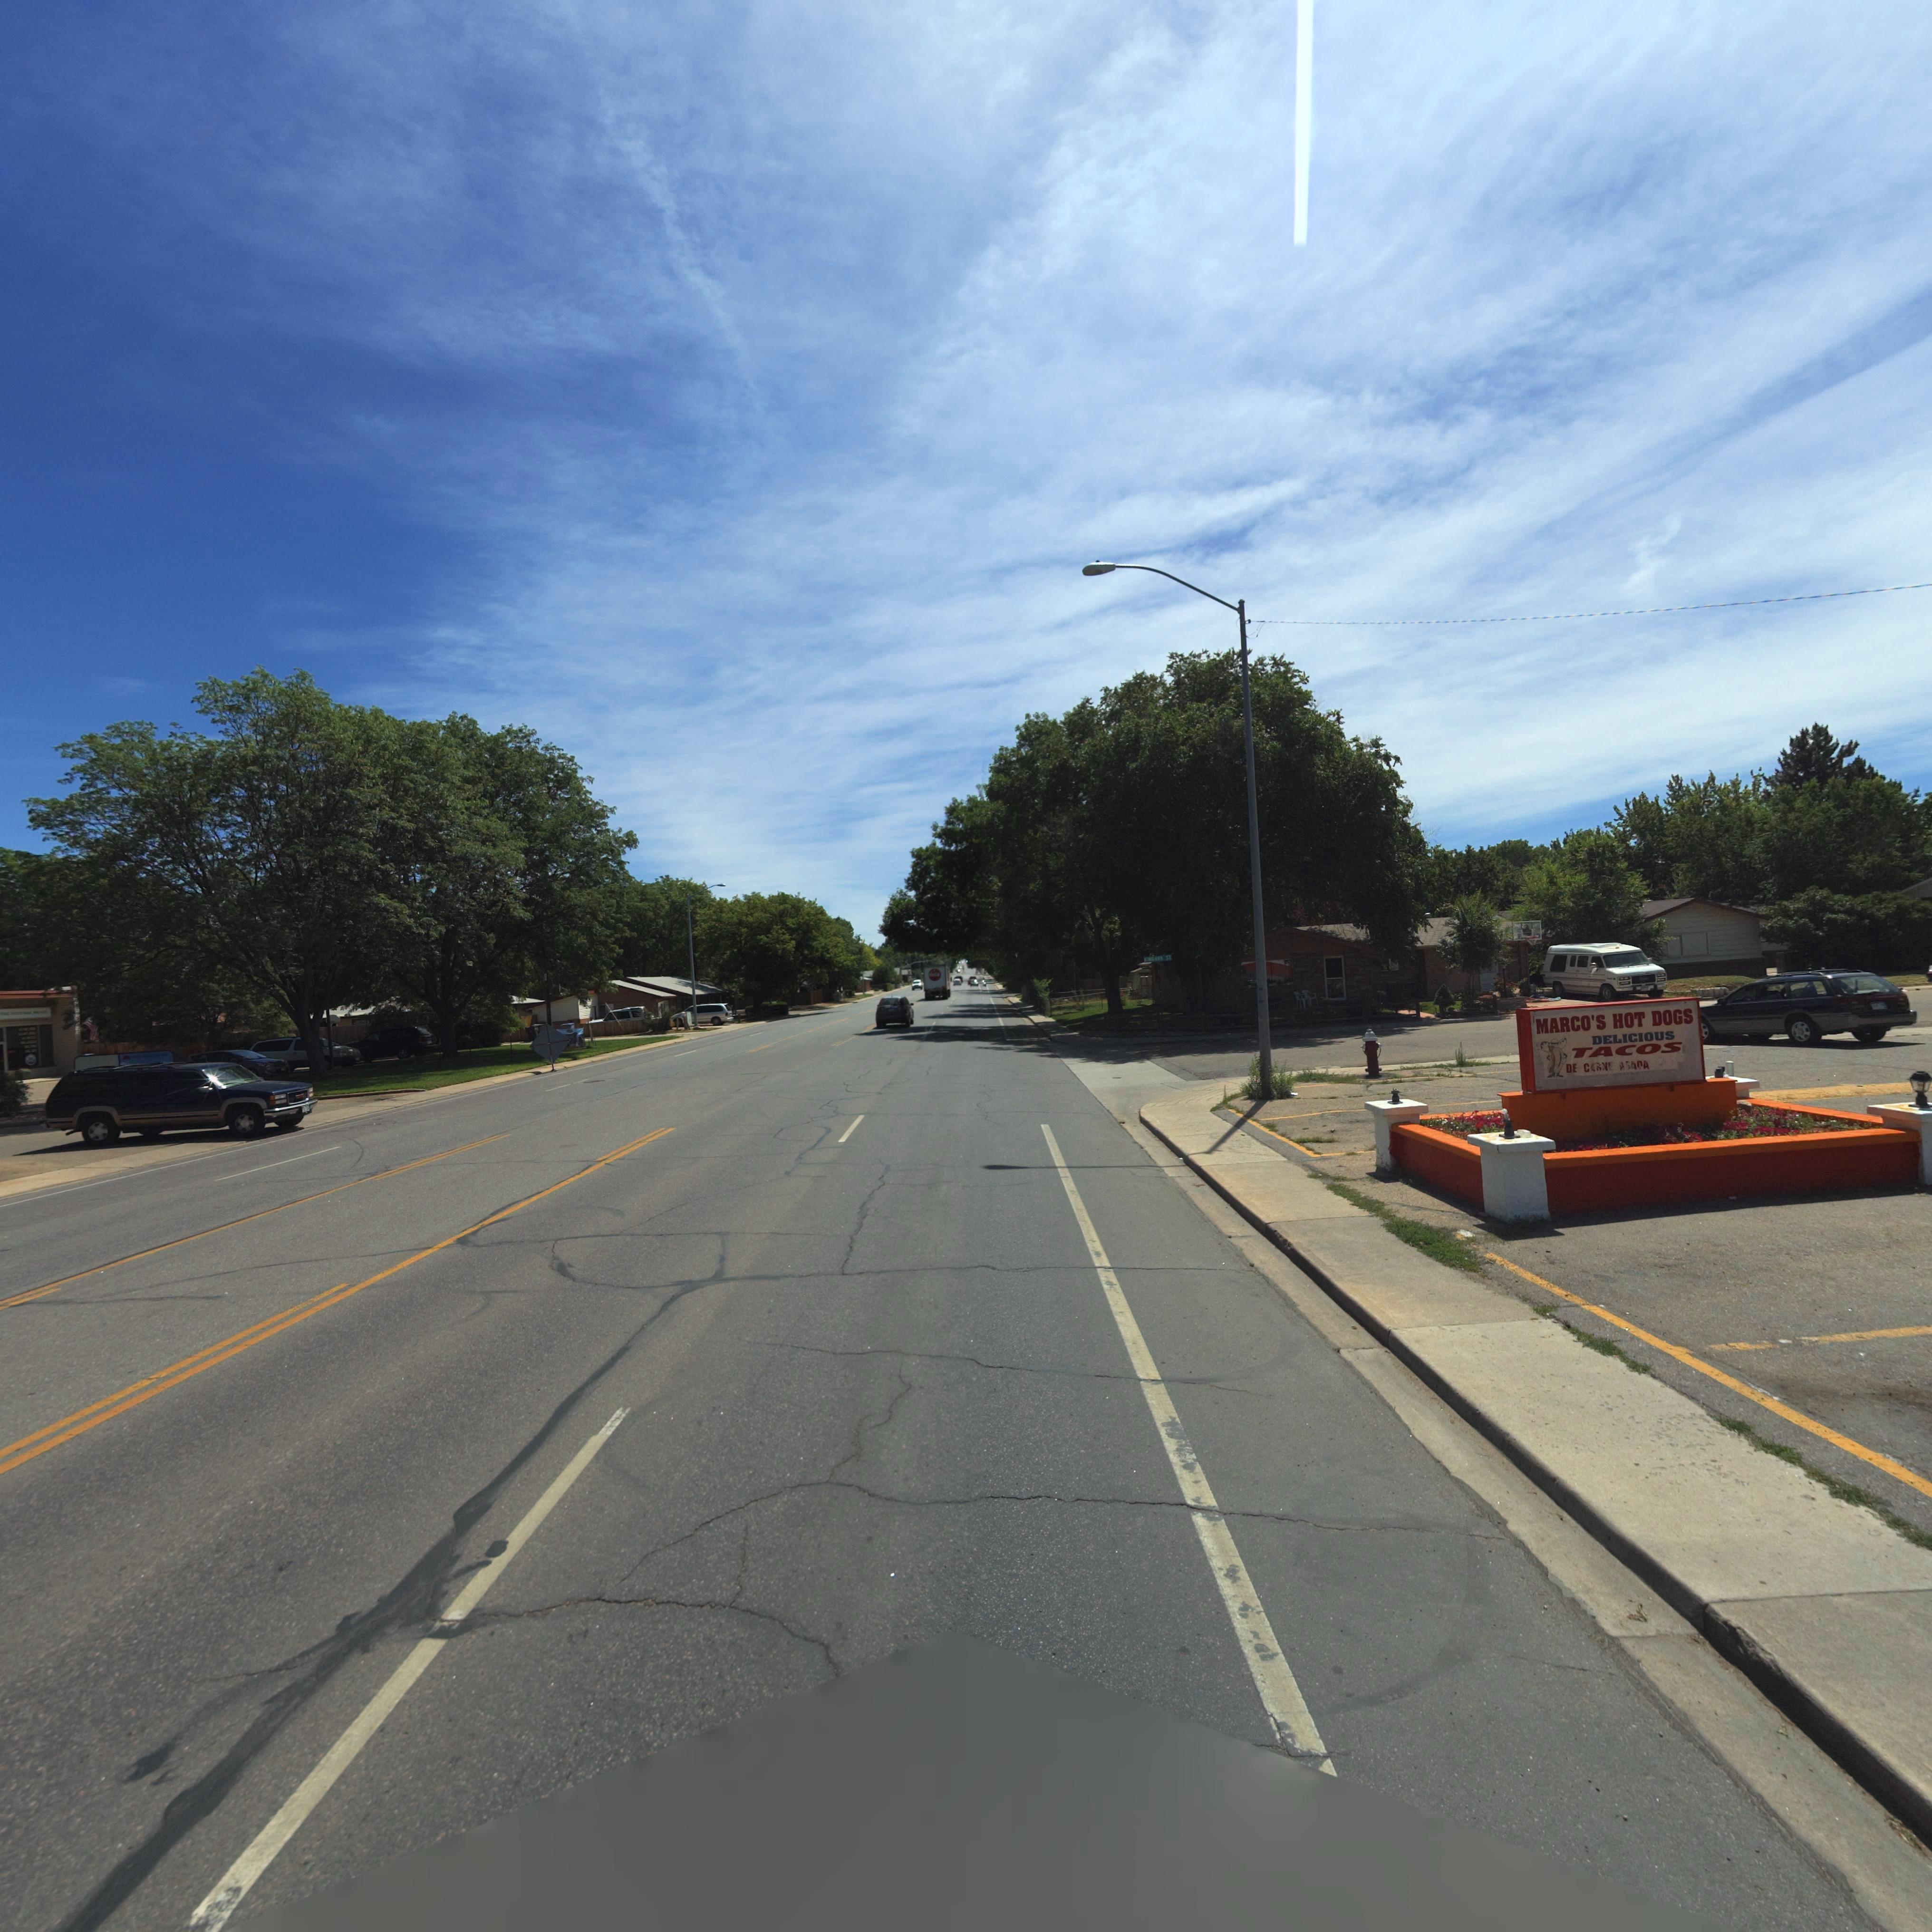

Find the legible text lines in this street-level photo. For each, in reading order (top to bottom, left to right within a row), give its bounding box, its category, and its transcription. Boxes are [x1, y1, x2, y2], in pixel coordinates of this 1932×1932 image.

[1143, 955, 1171, 962] StreetName: K*MBARK ST
[1535, 1007, 1693, 1034] BusinessName: MARCO'S HOT DOGS
[1591, 1030, 1674, 1045] BusinessName: DELICIOUS
[1571, 1041, 1682, 1059] BusinessName: TACOS